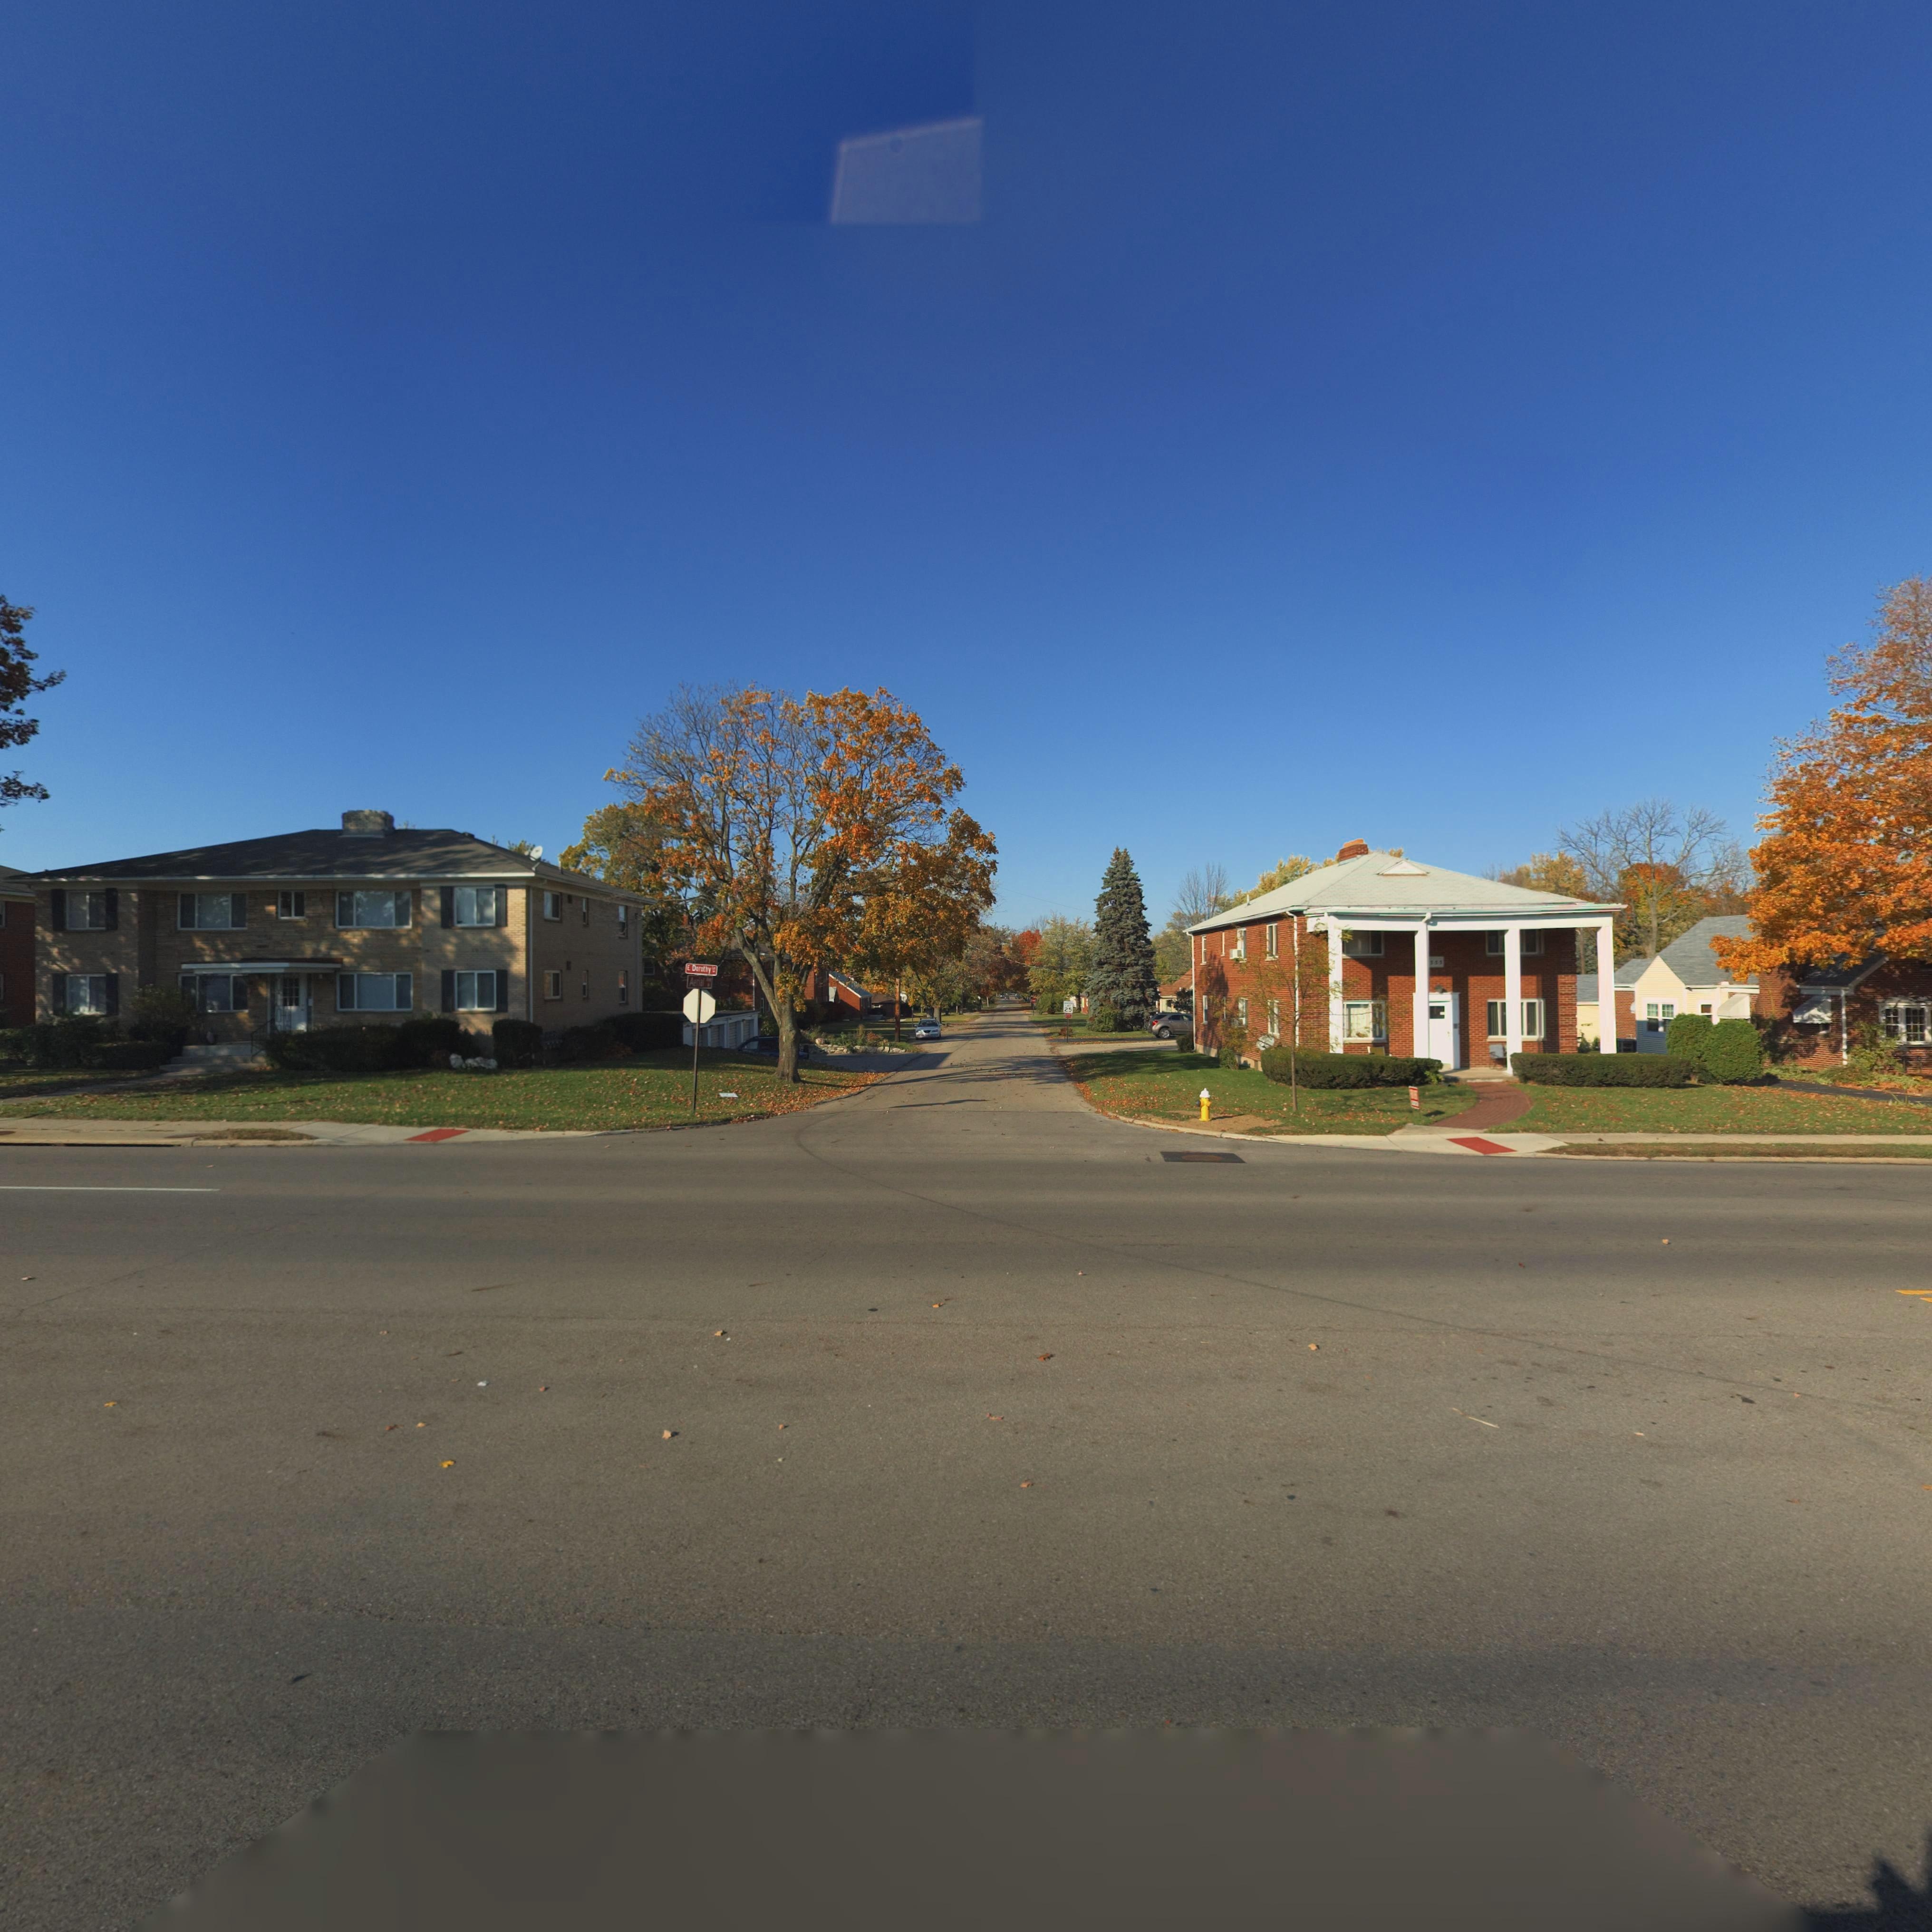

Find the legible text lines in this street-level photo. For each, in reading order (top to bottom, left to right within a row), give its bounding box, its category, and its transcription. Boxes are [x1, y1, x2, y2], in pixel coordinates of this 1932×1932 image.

[1430, 959, 1443, 966] StreetNumber: 555
[686, 964, 712, 975] StreetName: E Dorothy